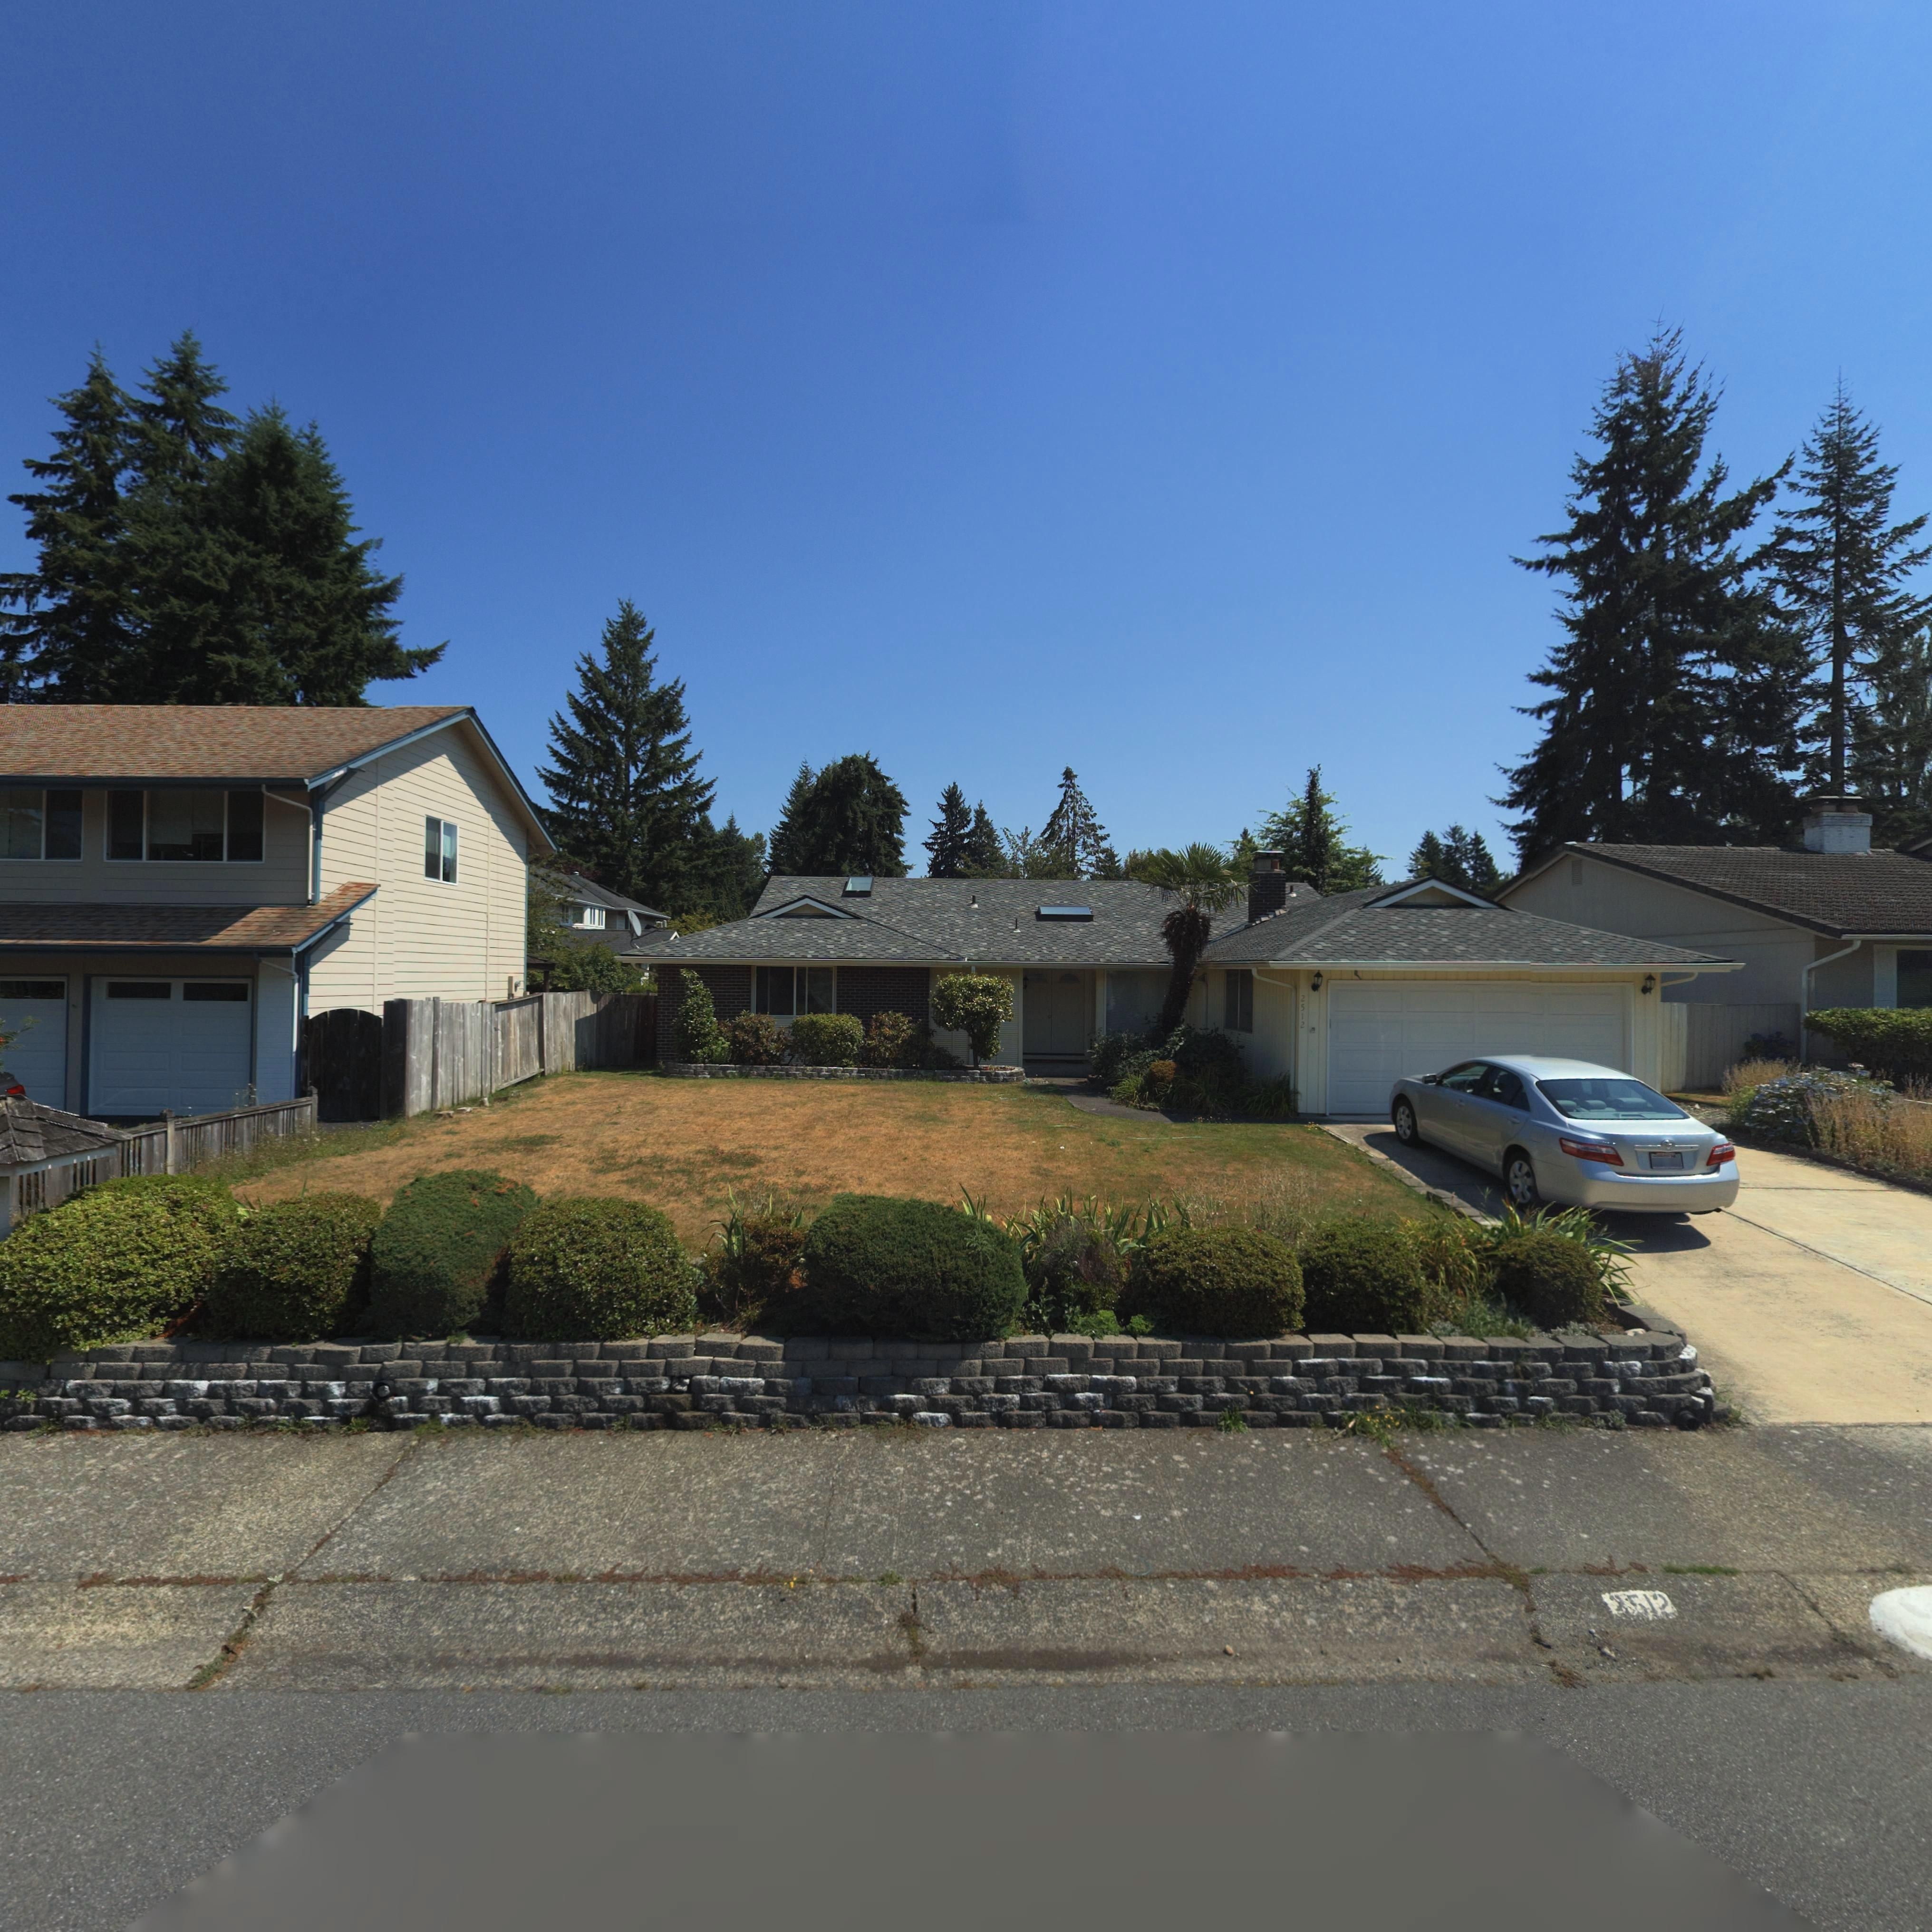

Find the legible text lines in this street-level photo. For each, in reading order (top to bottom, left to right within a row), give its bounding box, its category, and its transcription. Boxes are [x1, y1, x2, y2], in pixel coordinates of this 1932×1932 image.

[1300, 994, 1305, 1029] StreetNumber: 2512
[1606, 1592, 1677, 1620] StreetNumber: *512